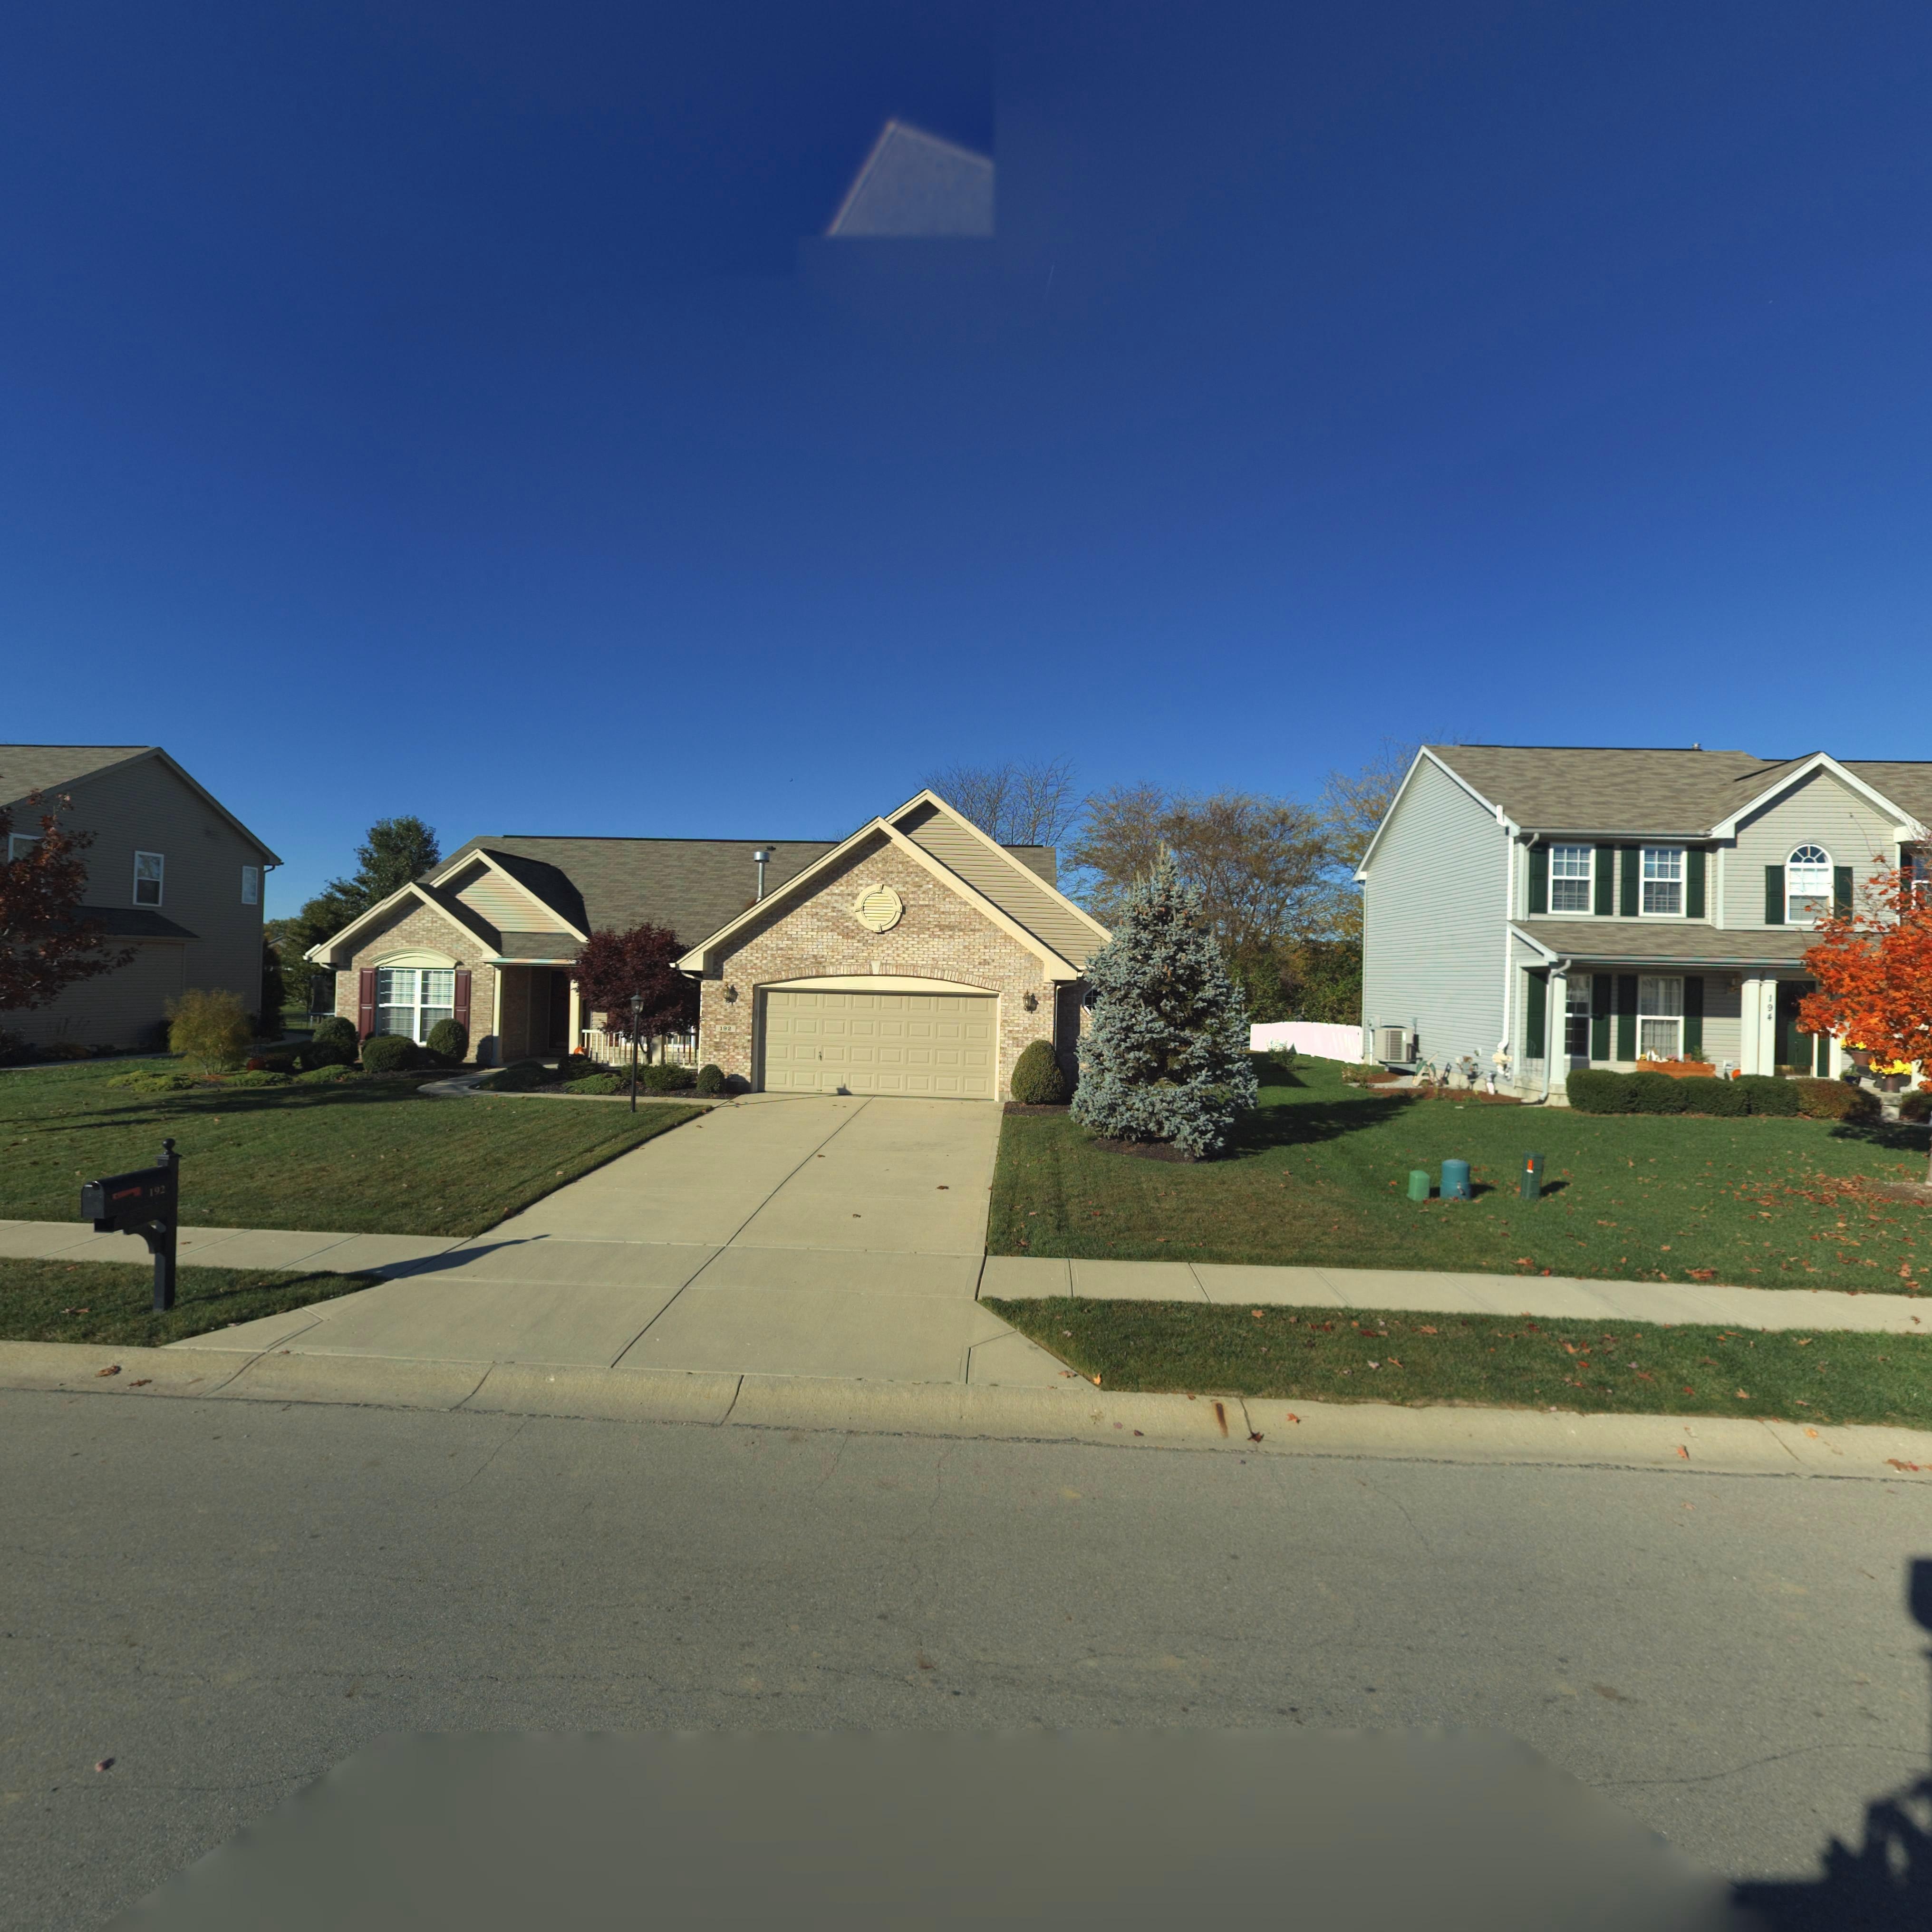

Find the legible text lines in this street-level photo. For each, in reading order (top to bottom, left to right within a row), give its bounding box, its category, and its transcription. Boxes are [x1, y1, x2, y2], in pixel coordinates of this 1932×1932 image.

[1767, 993, 1773, 1022] StreetNumber: 194
[719, 1025, 731, 1032] StreetNumber: 192
[149, 1184, 166, 1198] StreetNumber: 192